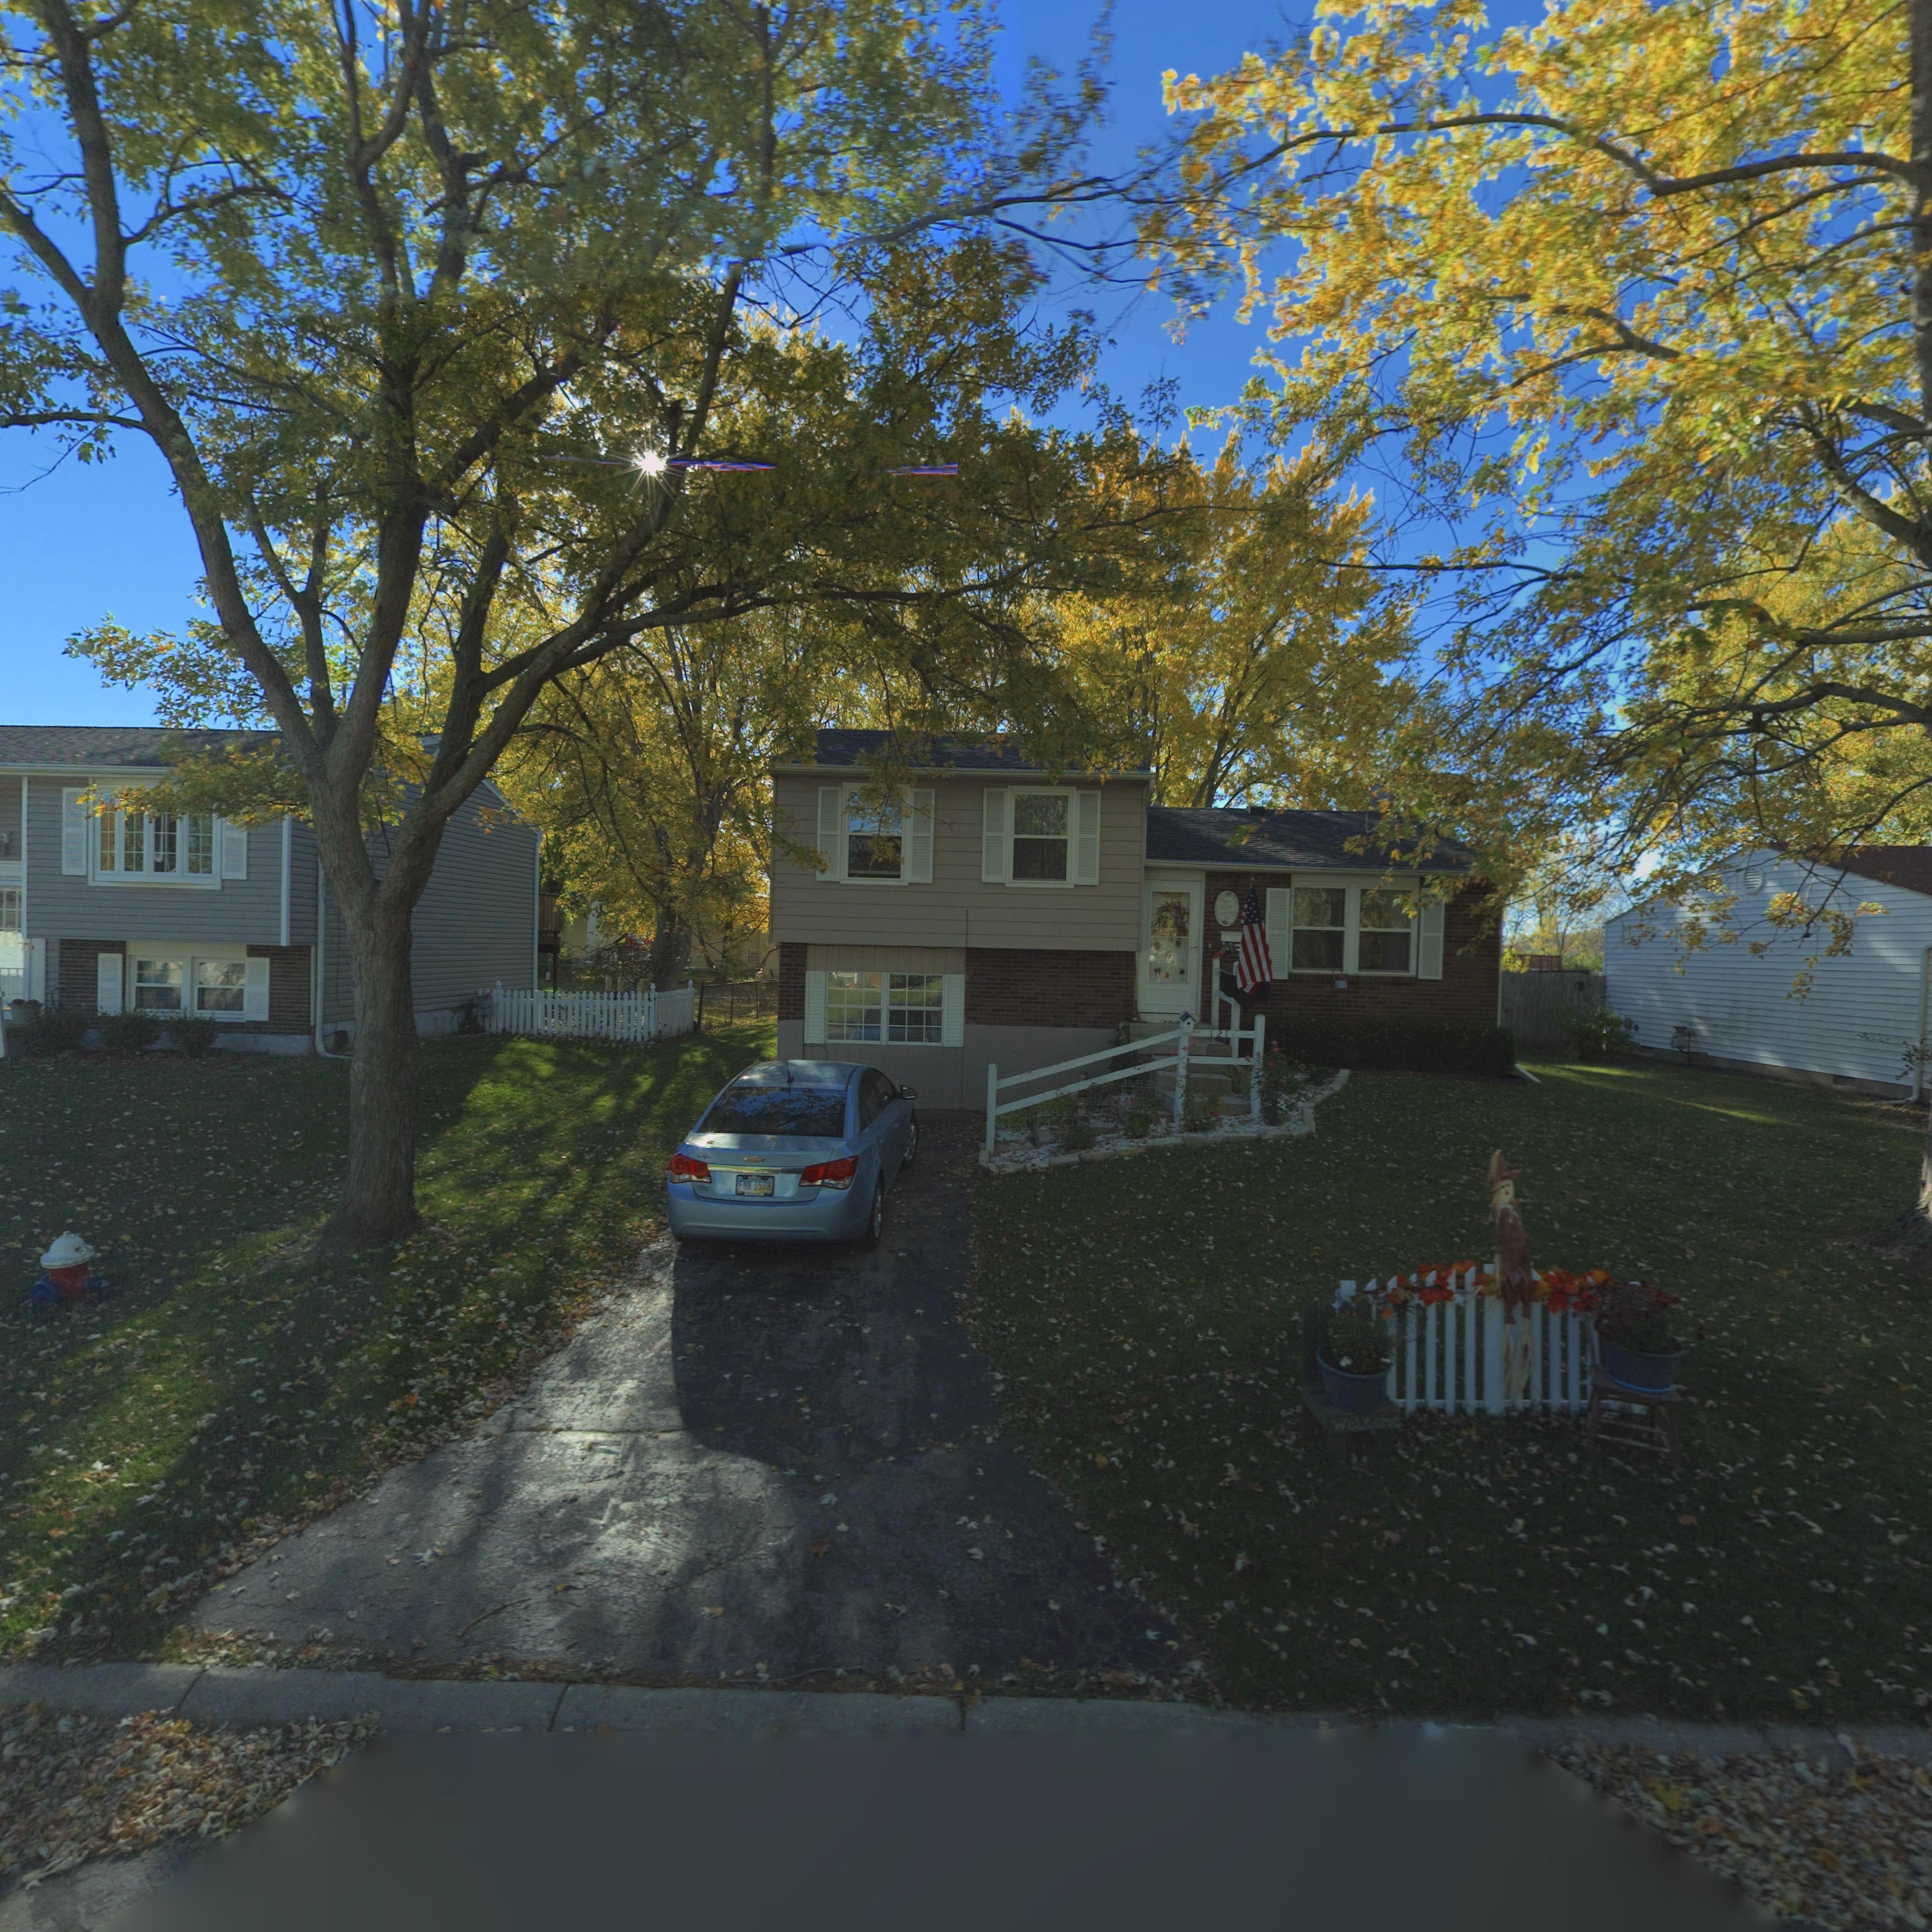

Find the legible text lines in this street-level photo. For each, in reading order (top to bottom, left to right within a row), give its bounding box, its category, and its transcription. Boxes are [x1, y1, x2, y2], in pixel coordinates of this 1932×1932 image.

[1209, 1029, 1228, 1038] StreetNumber: 121